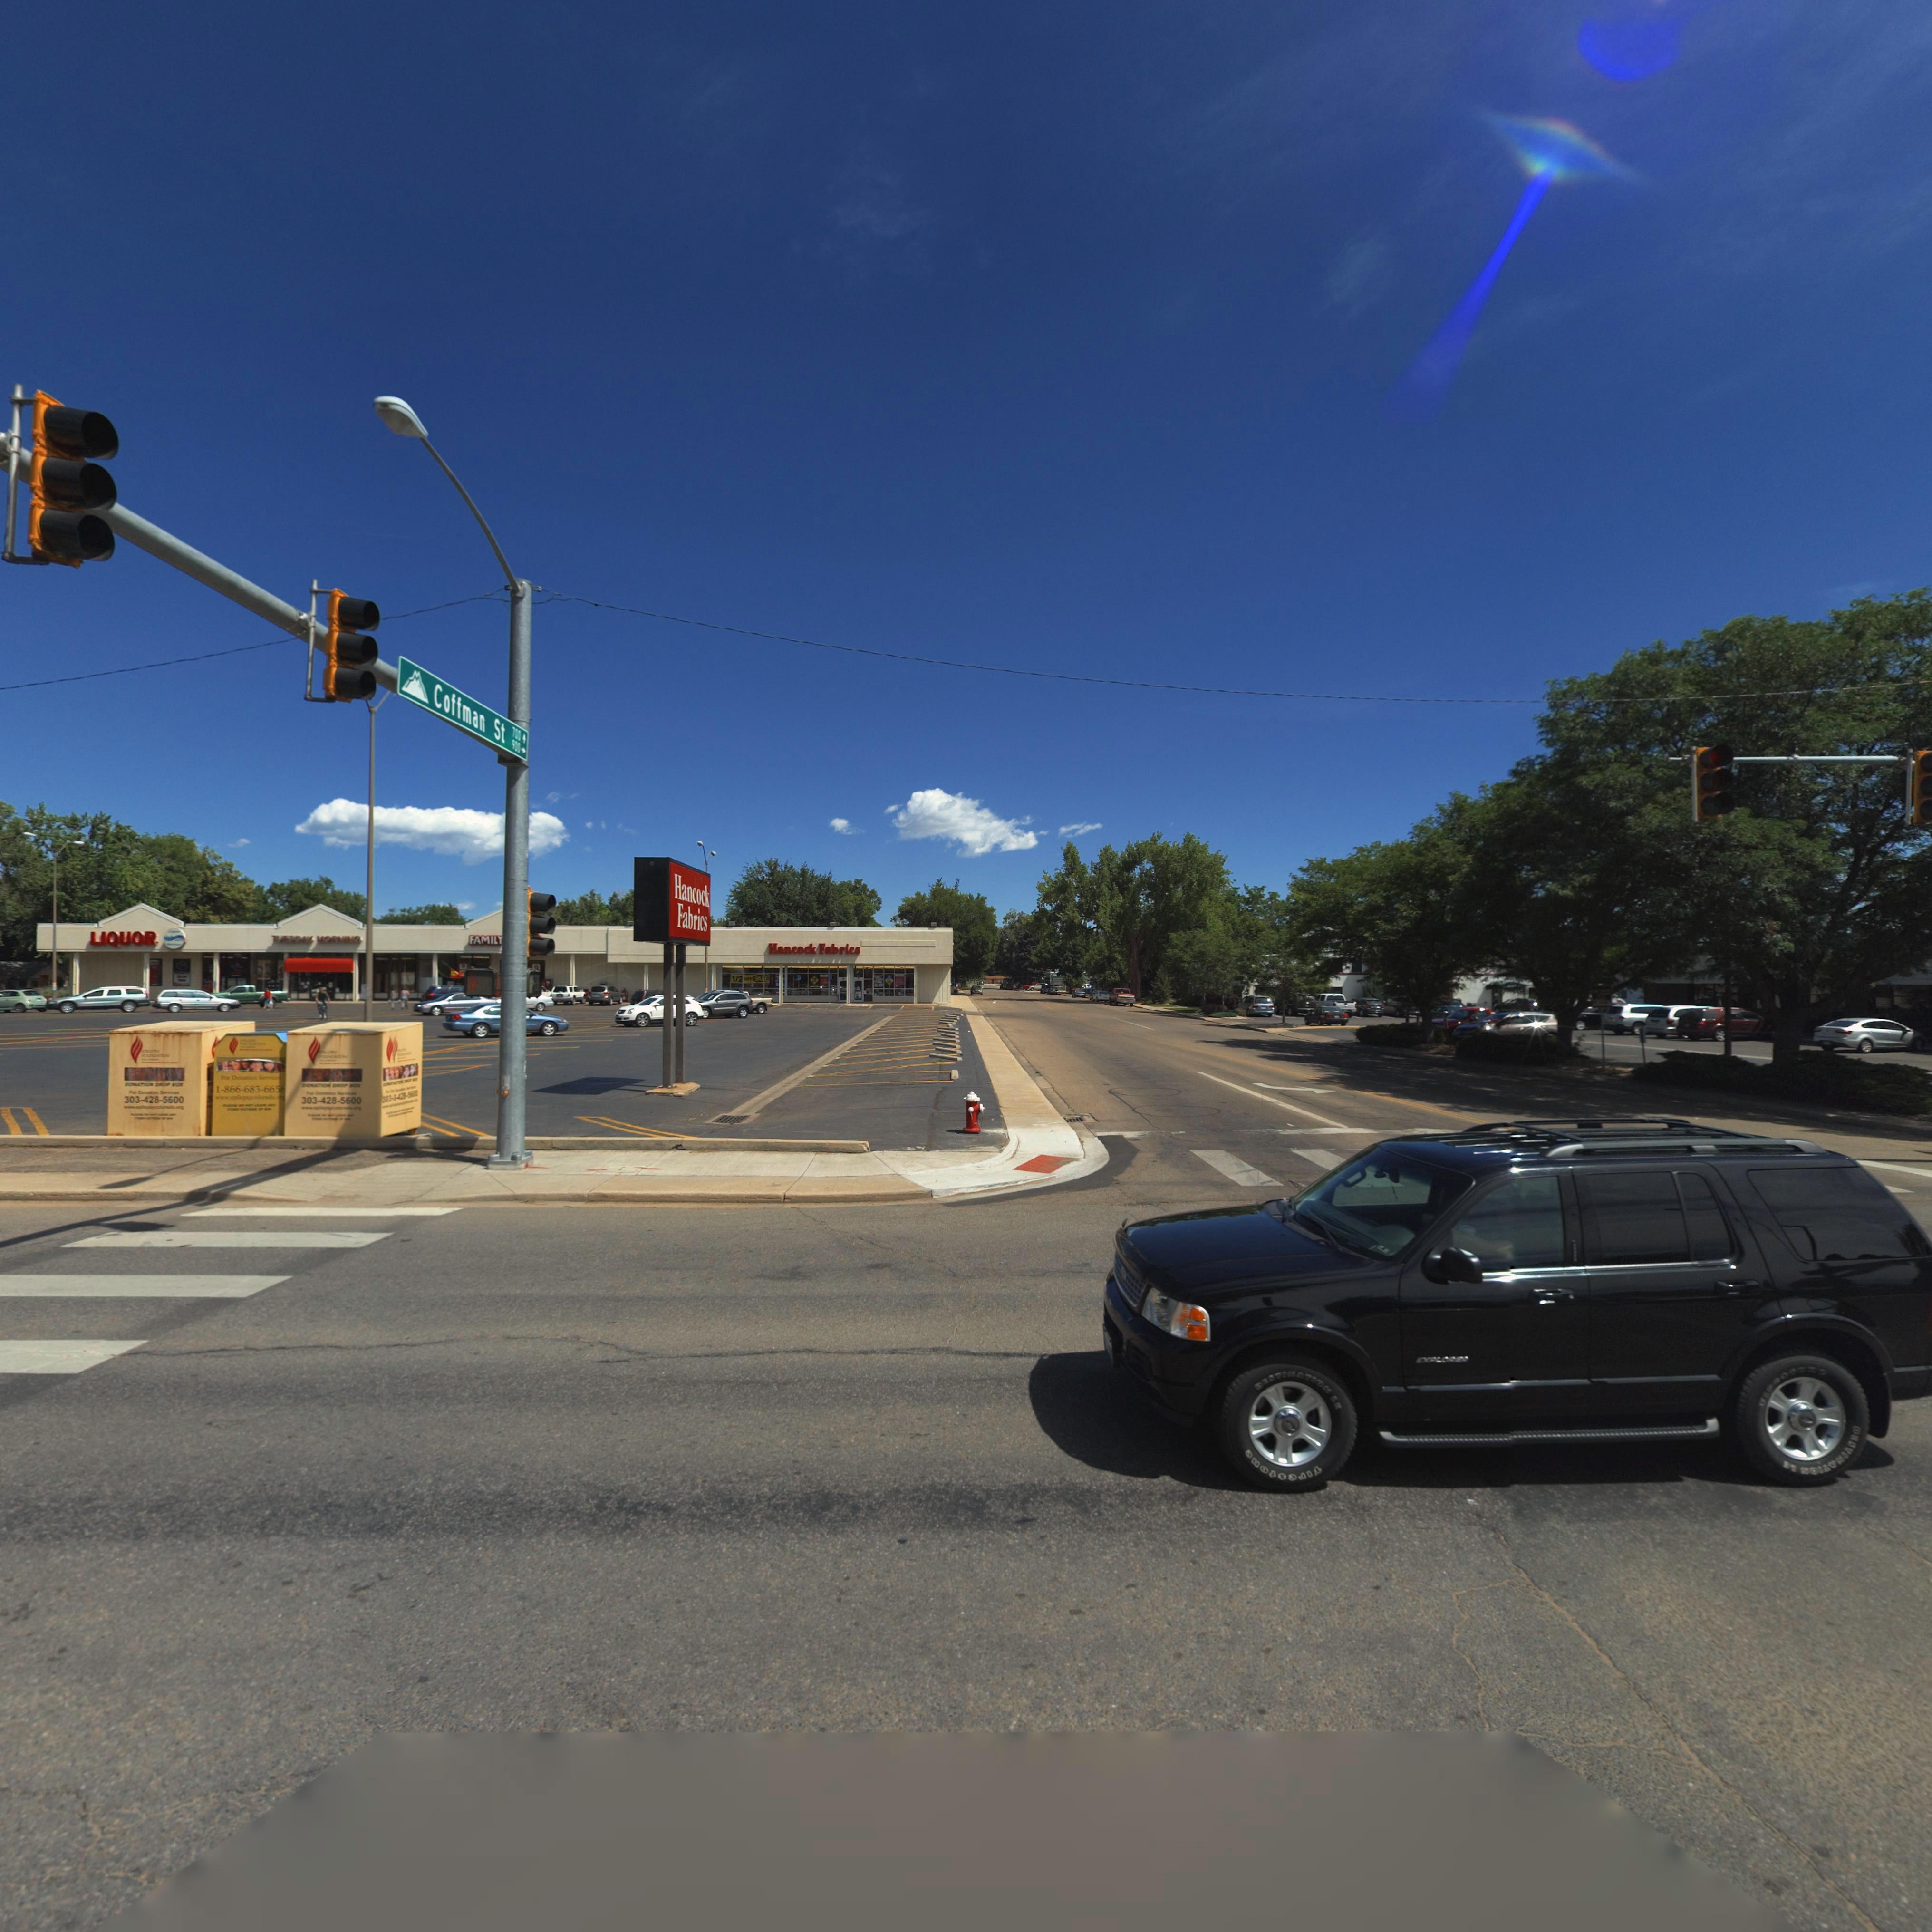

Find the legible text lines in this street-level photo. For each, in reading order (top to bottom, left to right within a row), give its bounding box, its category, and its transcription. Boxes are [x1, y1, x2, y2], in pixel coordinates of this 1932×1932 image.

[433, 683, 506, 744] StreetName: Coffman St*
[512, 725, 522, 742] StreetNumberRange: 7**
[512, 737, 527, 754] StreetNumberRange: 5**->
[674, 872, 710, 908] BusinessName: Hancock
[676, 902, 708, 932] BusinessName: Fabrics
[271, 935, 362, 943] BusinessName: TUES*** MO***N*
[469, 935, 503, 945] BusinessName: FAMILY
[768, 943, 861, 955] BusinessName: H*ncock F*brics